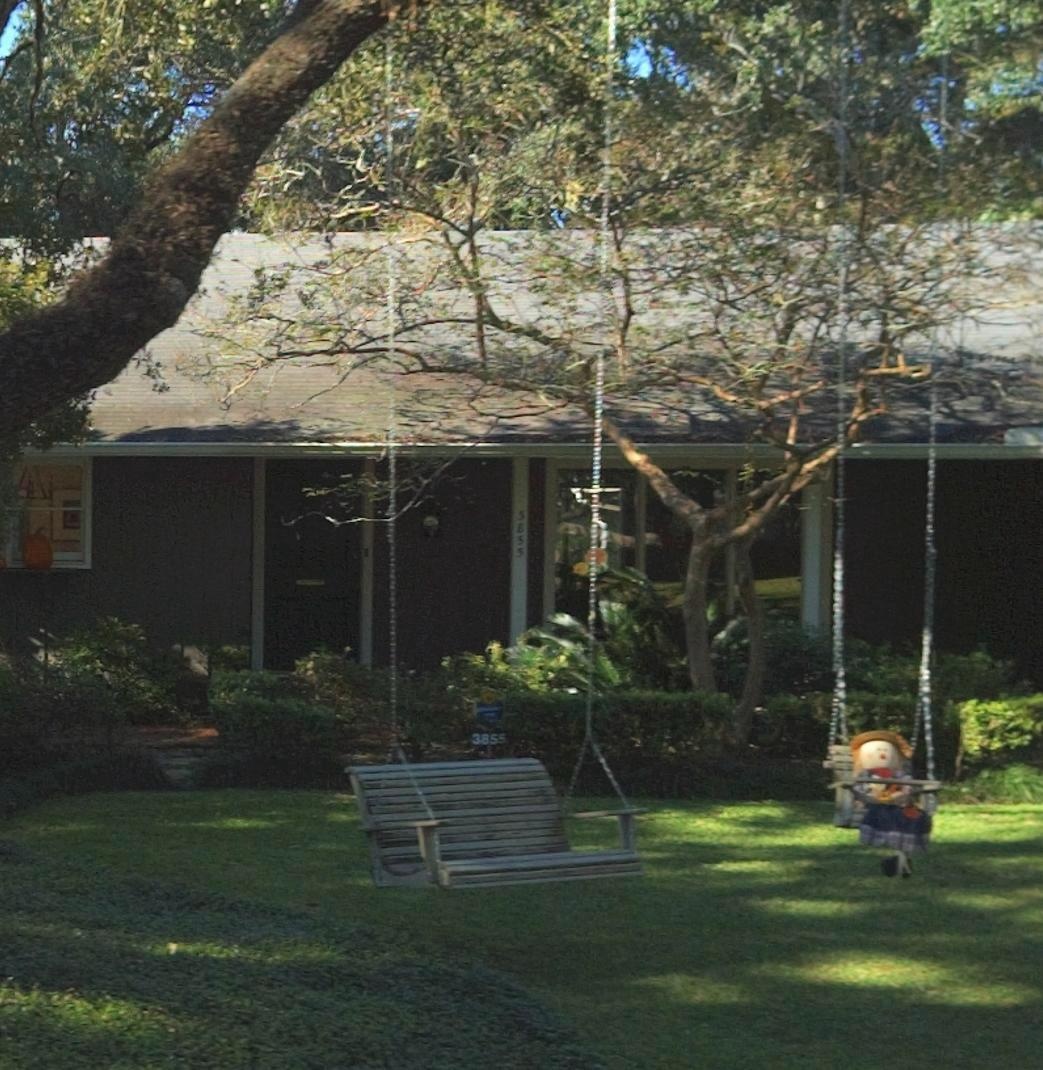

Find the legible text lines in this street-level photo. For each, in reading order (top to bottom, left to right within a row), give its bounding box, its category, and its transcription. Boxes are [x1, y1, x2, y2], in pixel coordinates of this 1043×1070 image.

[514, 507, 526, 559] StreetNumber: 3855
[470, 731, 507, 745] StreetNumber: 3855